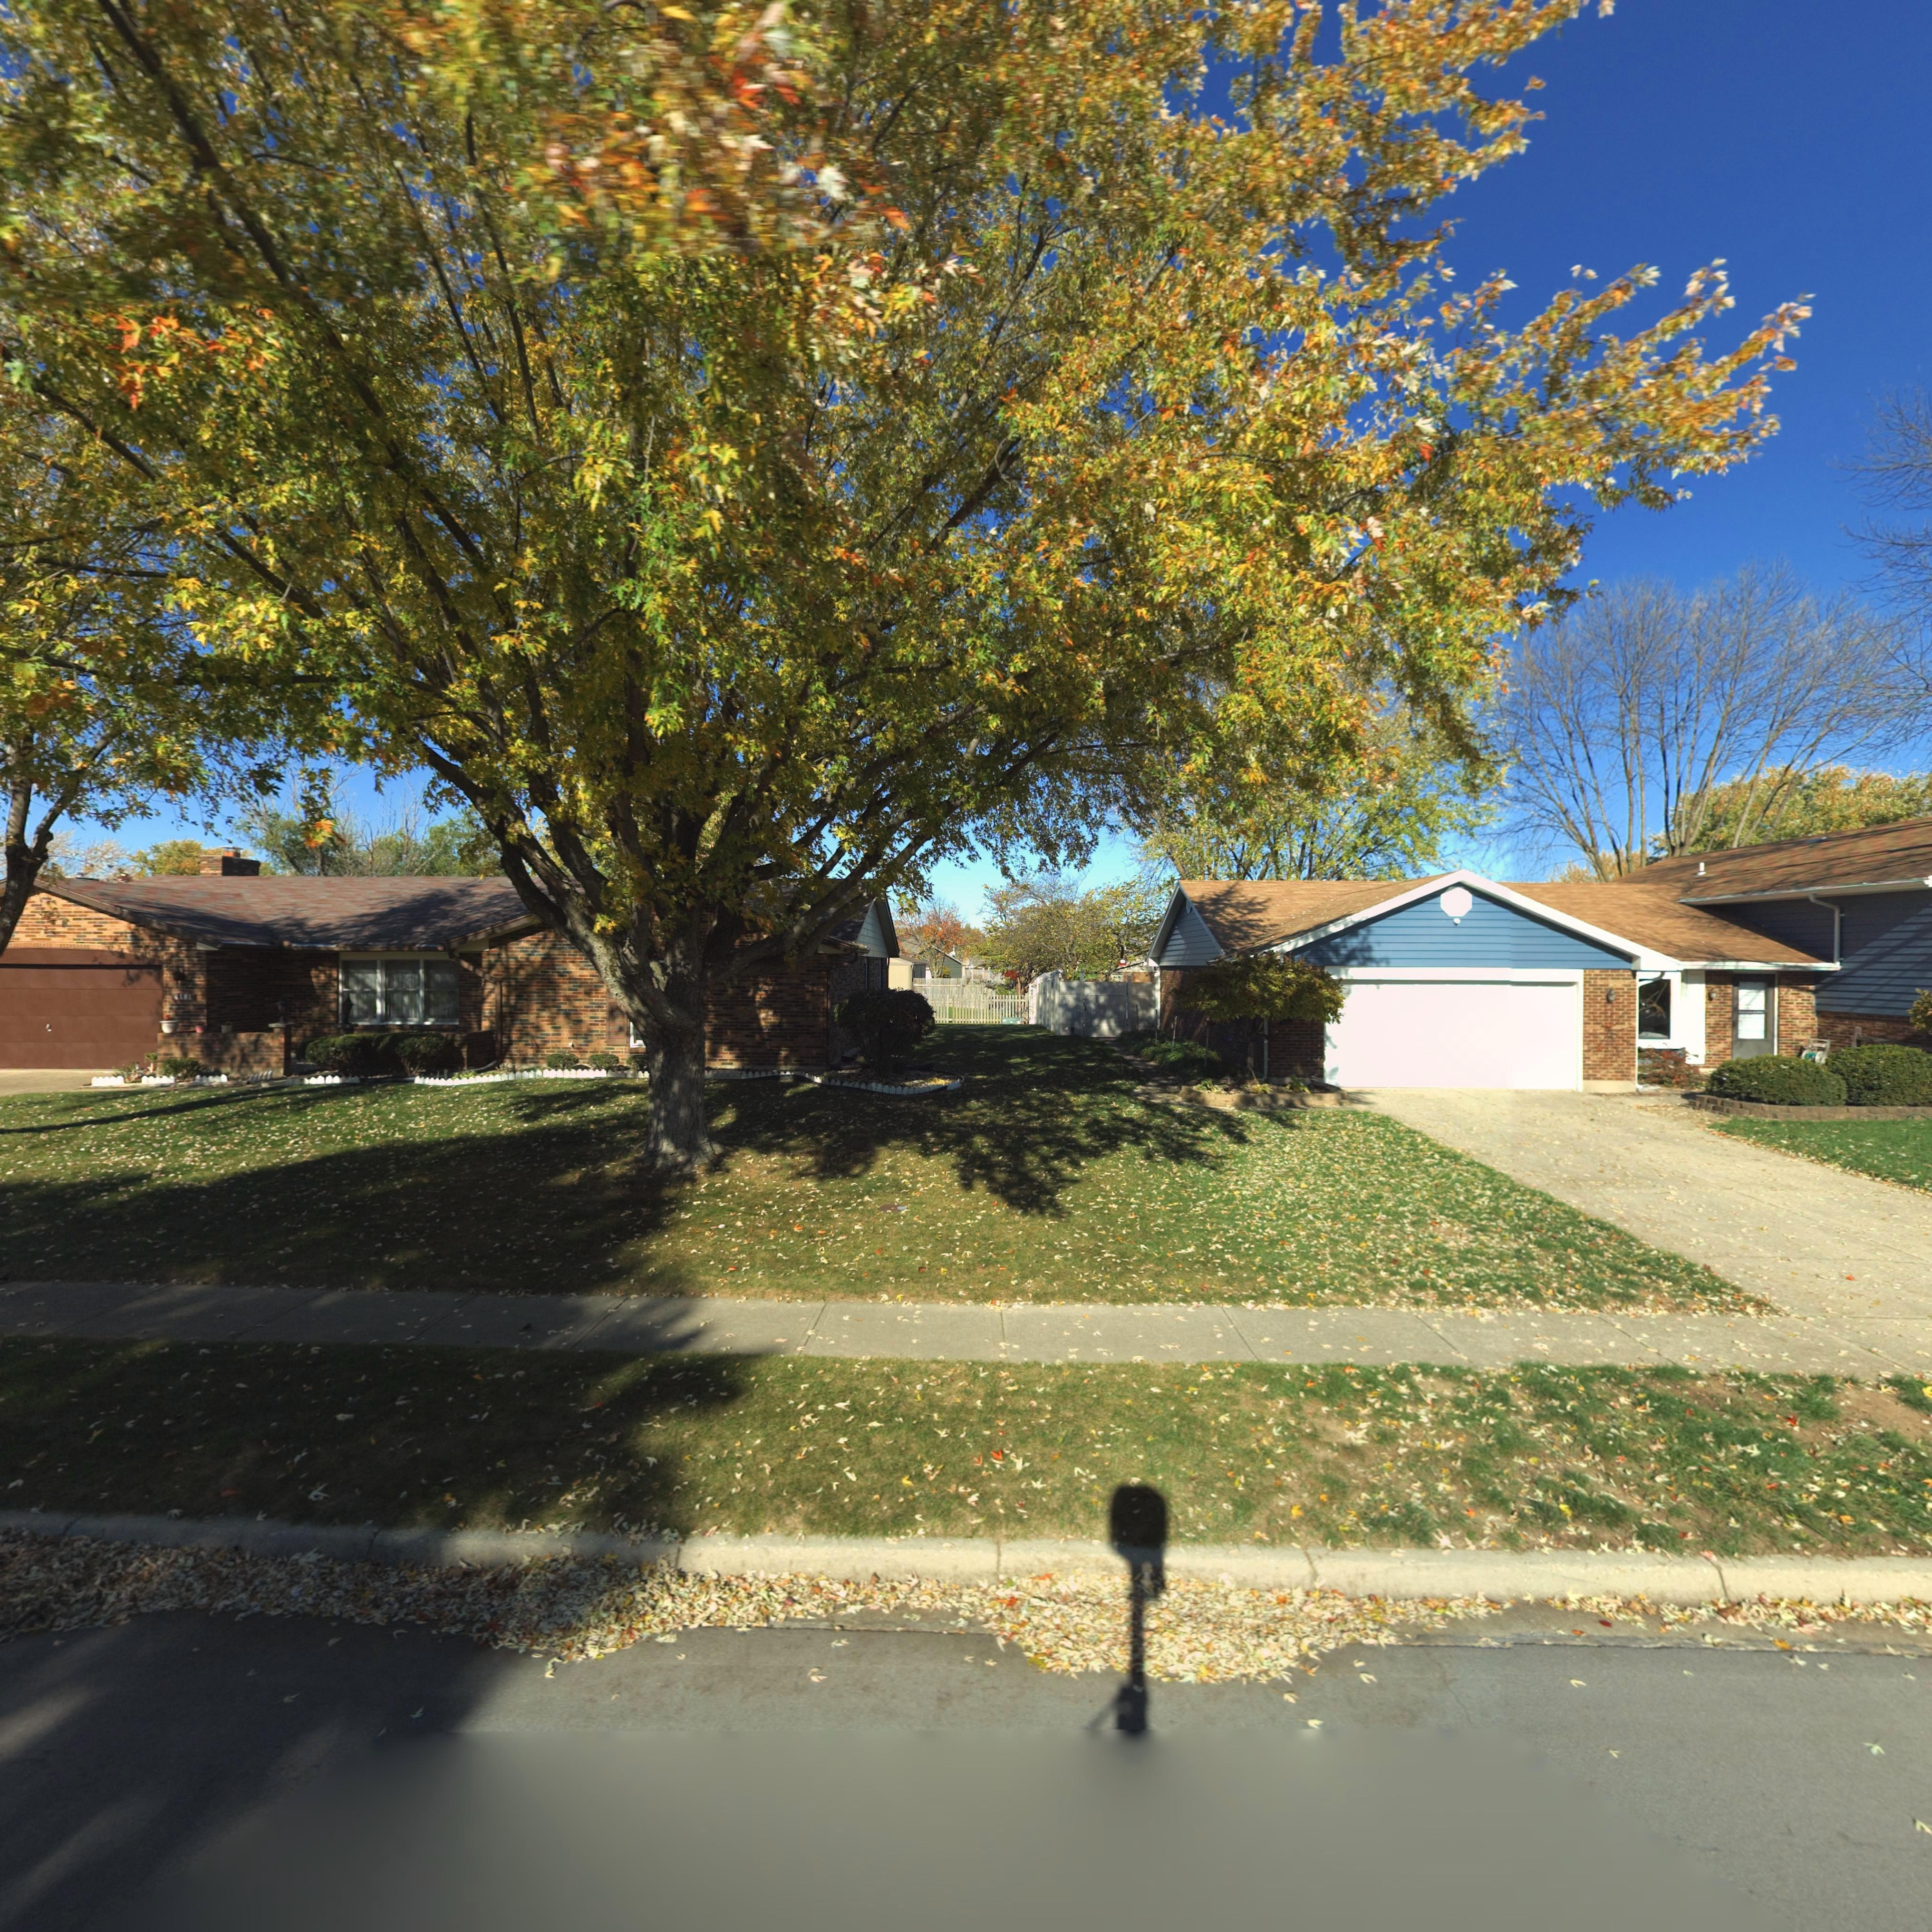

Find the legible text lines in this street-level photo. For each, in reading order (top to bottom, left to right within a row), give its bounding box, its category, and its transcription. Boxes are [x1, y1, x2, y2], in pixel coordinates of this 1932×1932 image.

[172, 993, 193, 1002] StreetNumber: 4181